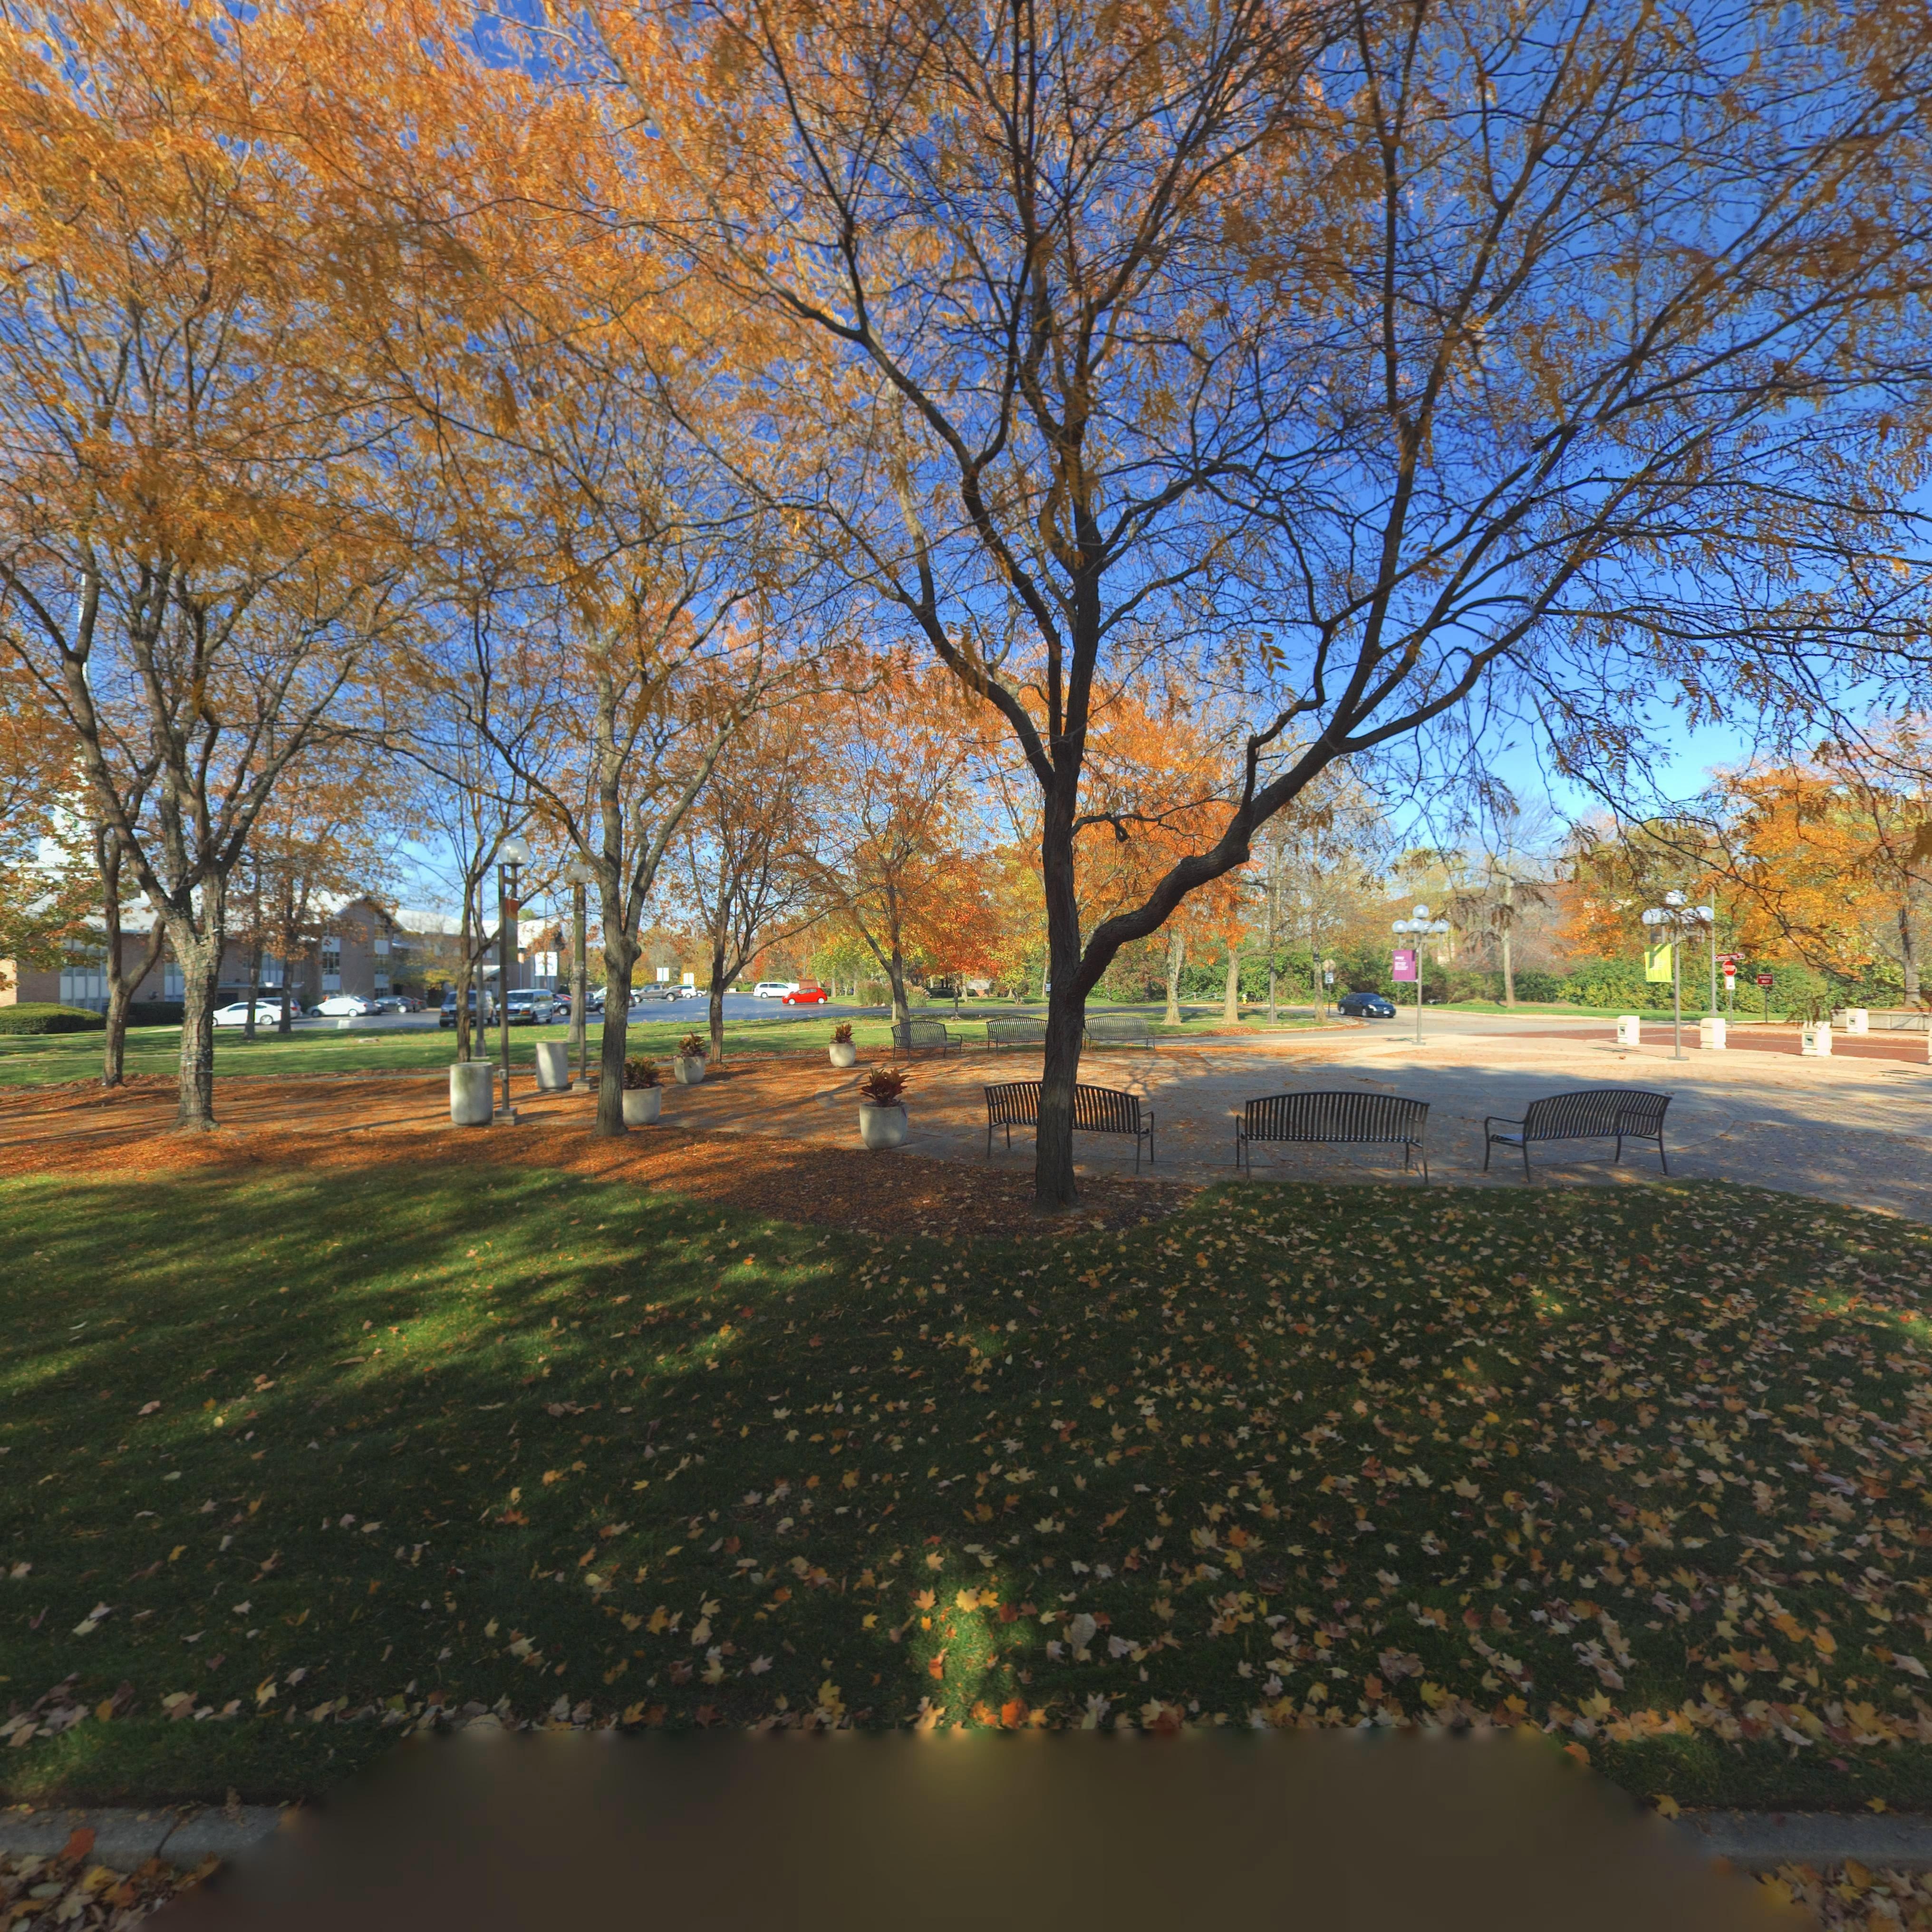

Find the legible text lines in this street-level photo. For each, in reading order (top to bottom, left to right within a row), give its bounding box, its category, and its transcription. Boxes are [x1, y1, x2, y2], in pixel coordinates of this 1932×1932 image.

[1723, 965, 1736, 971] None: STOP
[1759, 975, 1772, 979] None: WRONG
[1761, 979, 1769, 984] None: WAY